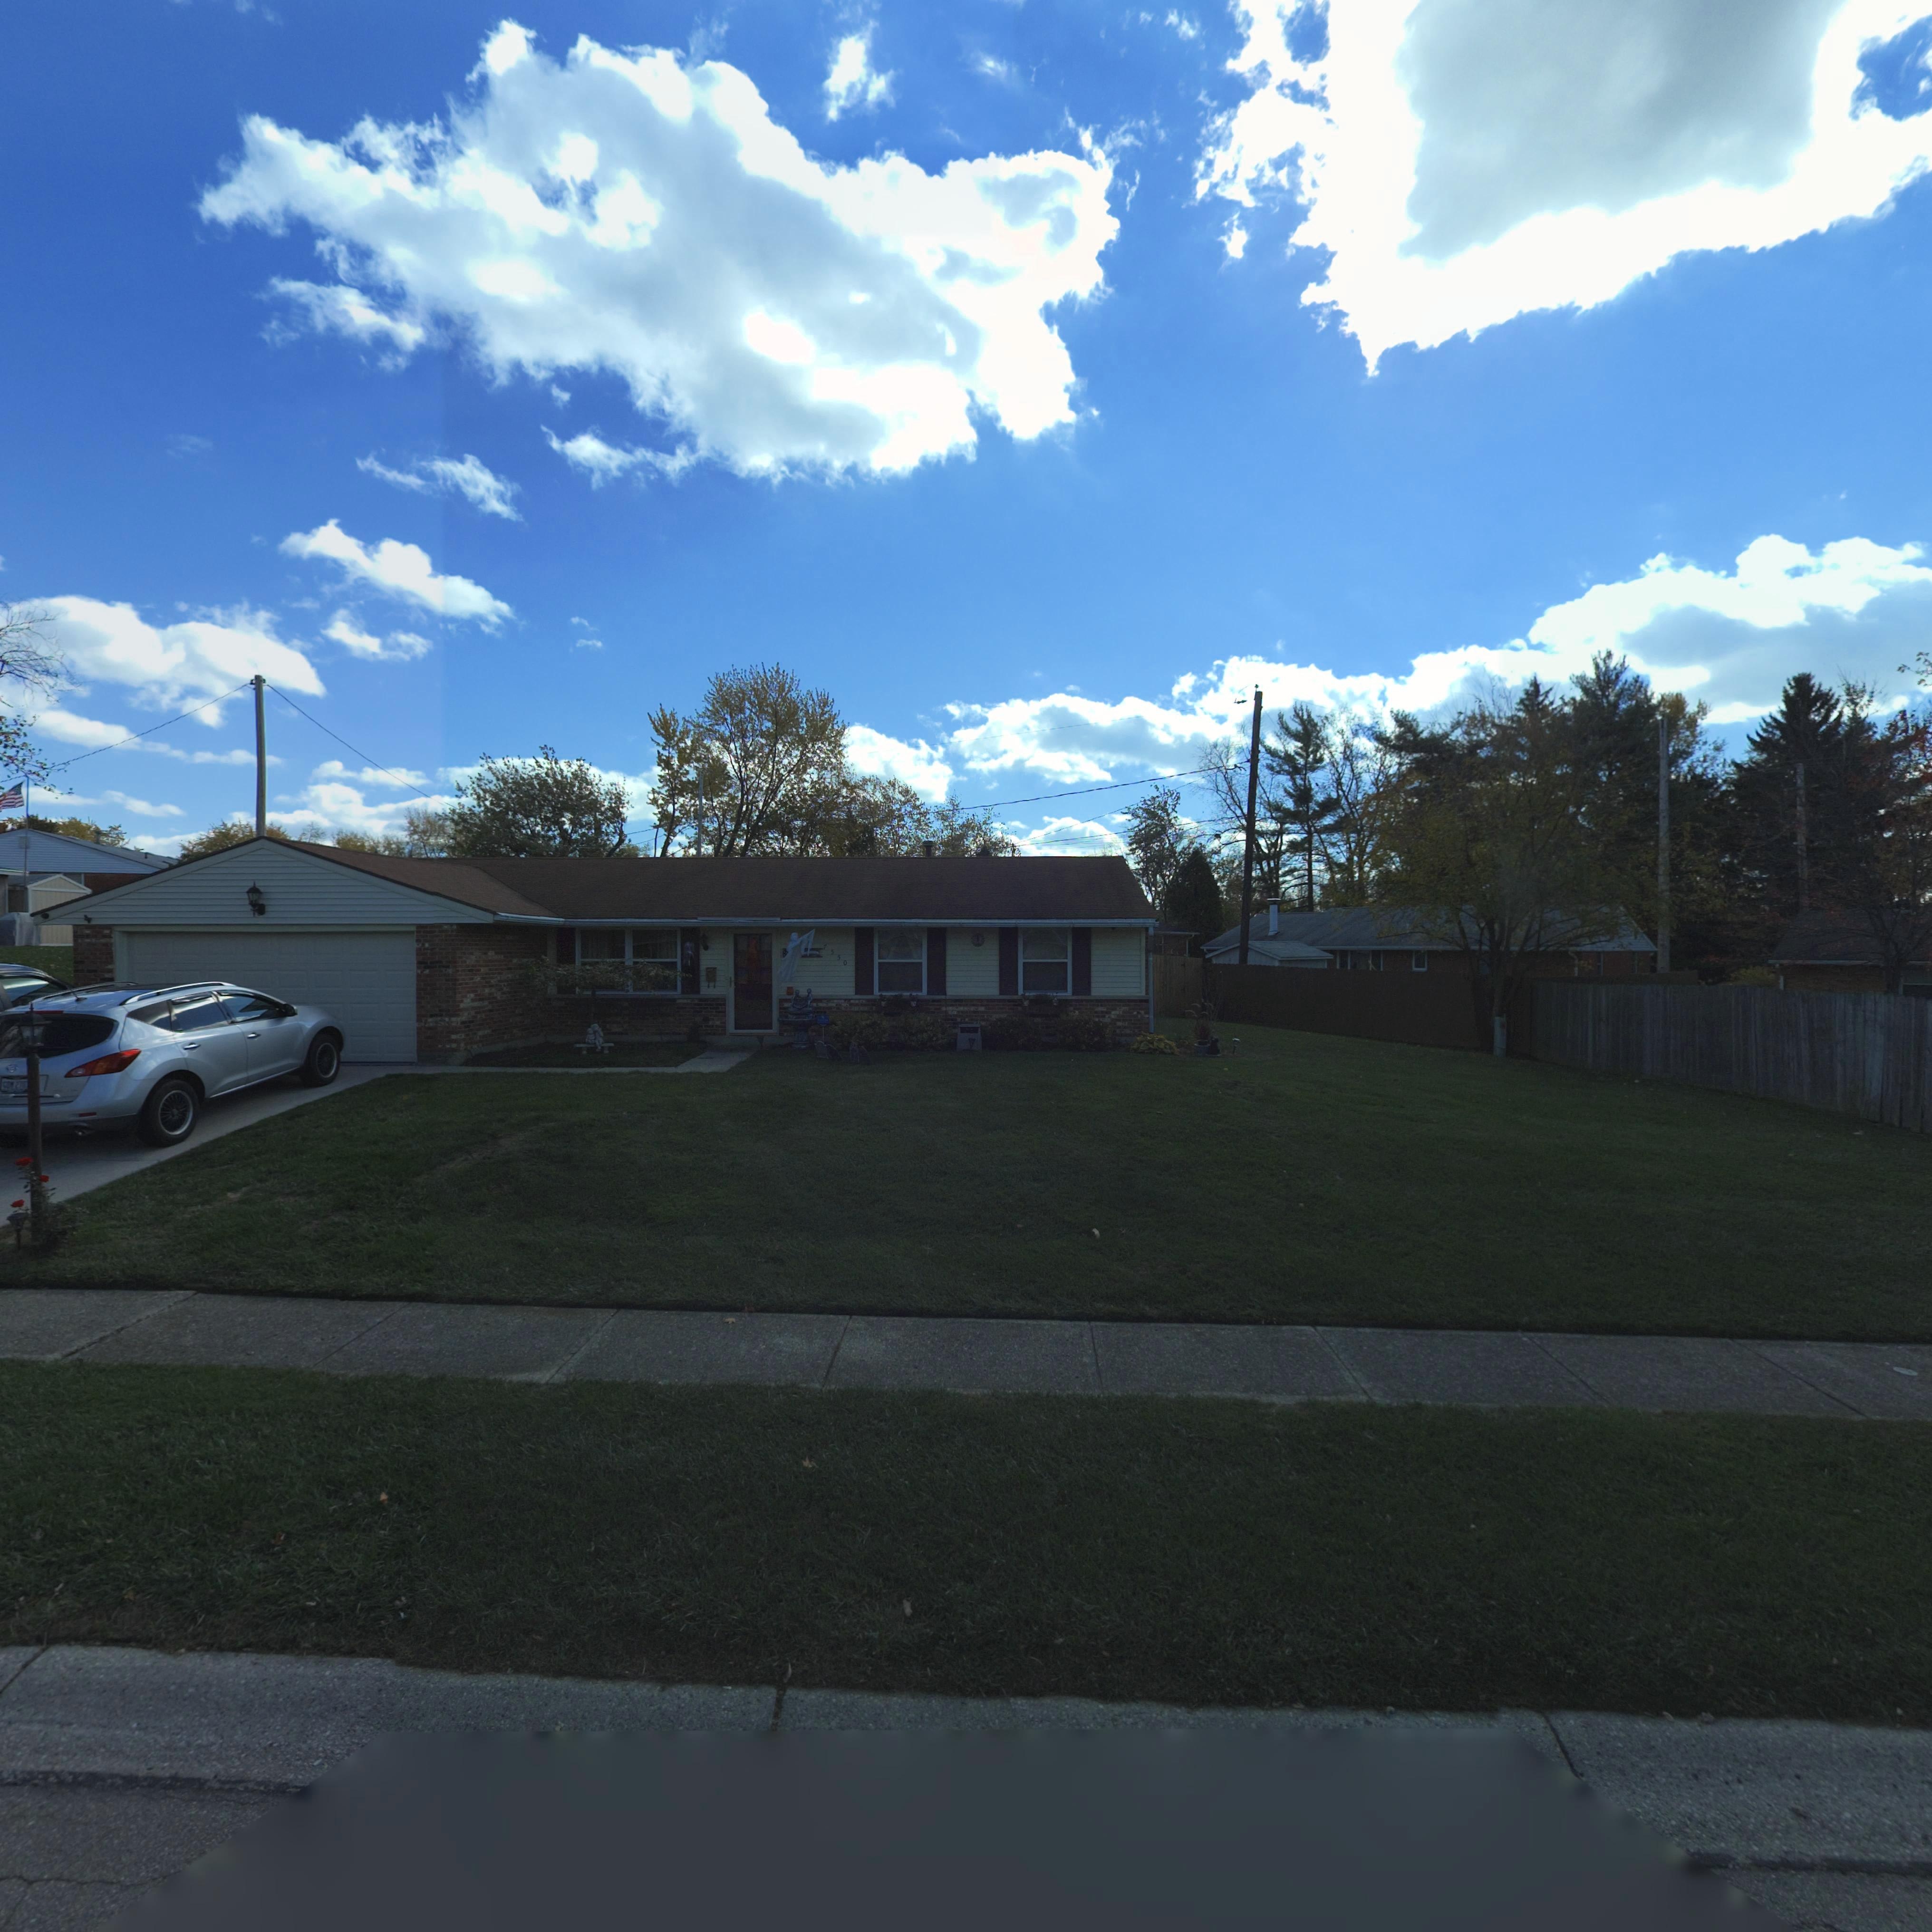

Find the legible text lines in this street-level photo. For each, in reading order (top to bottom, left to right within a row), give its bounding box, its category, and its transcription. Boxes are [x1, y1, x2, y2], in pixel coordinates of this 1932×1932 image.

[823, 943, 848, 966] StreetNumber: 7550